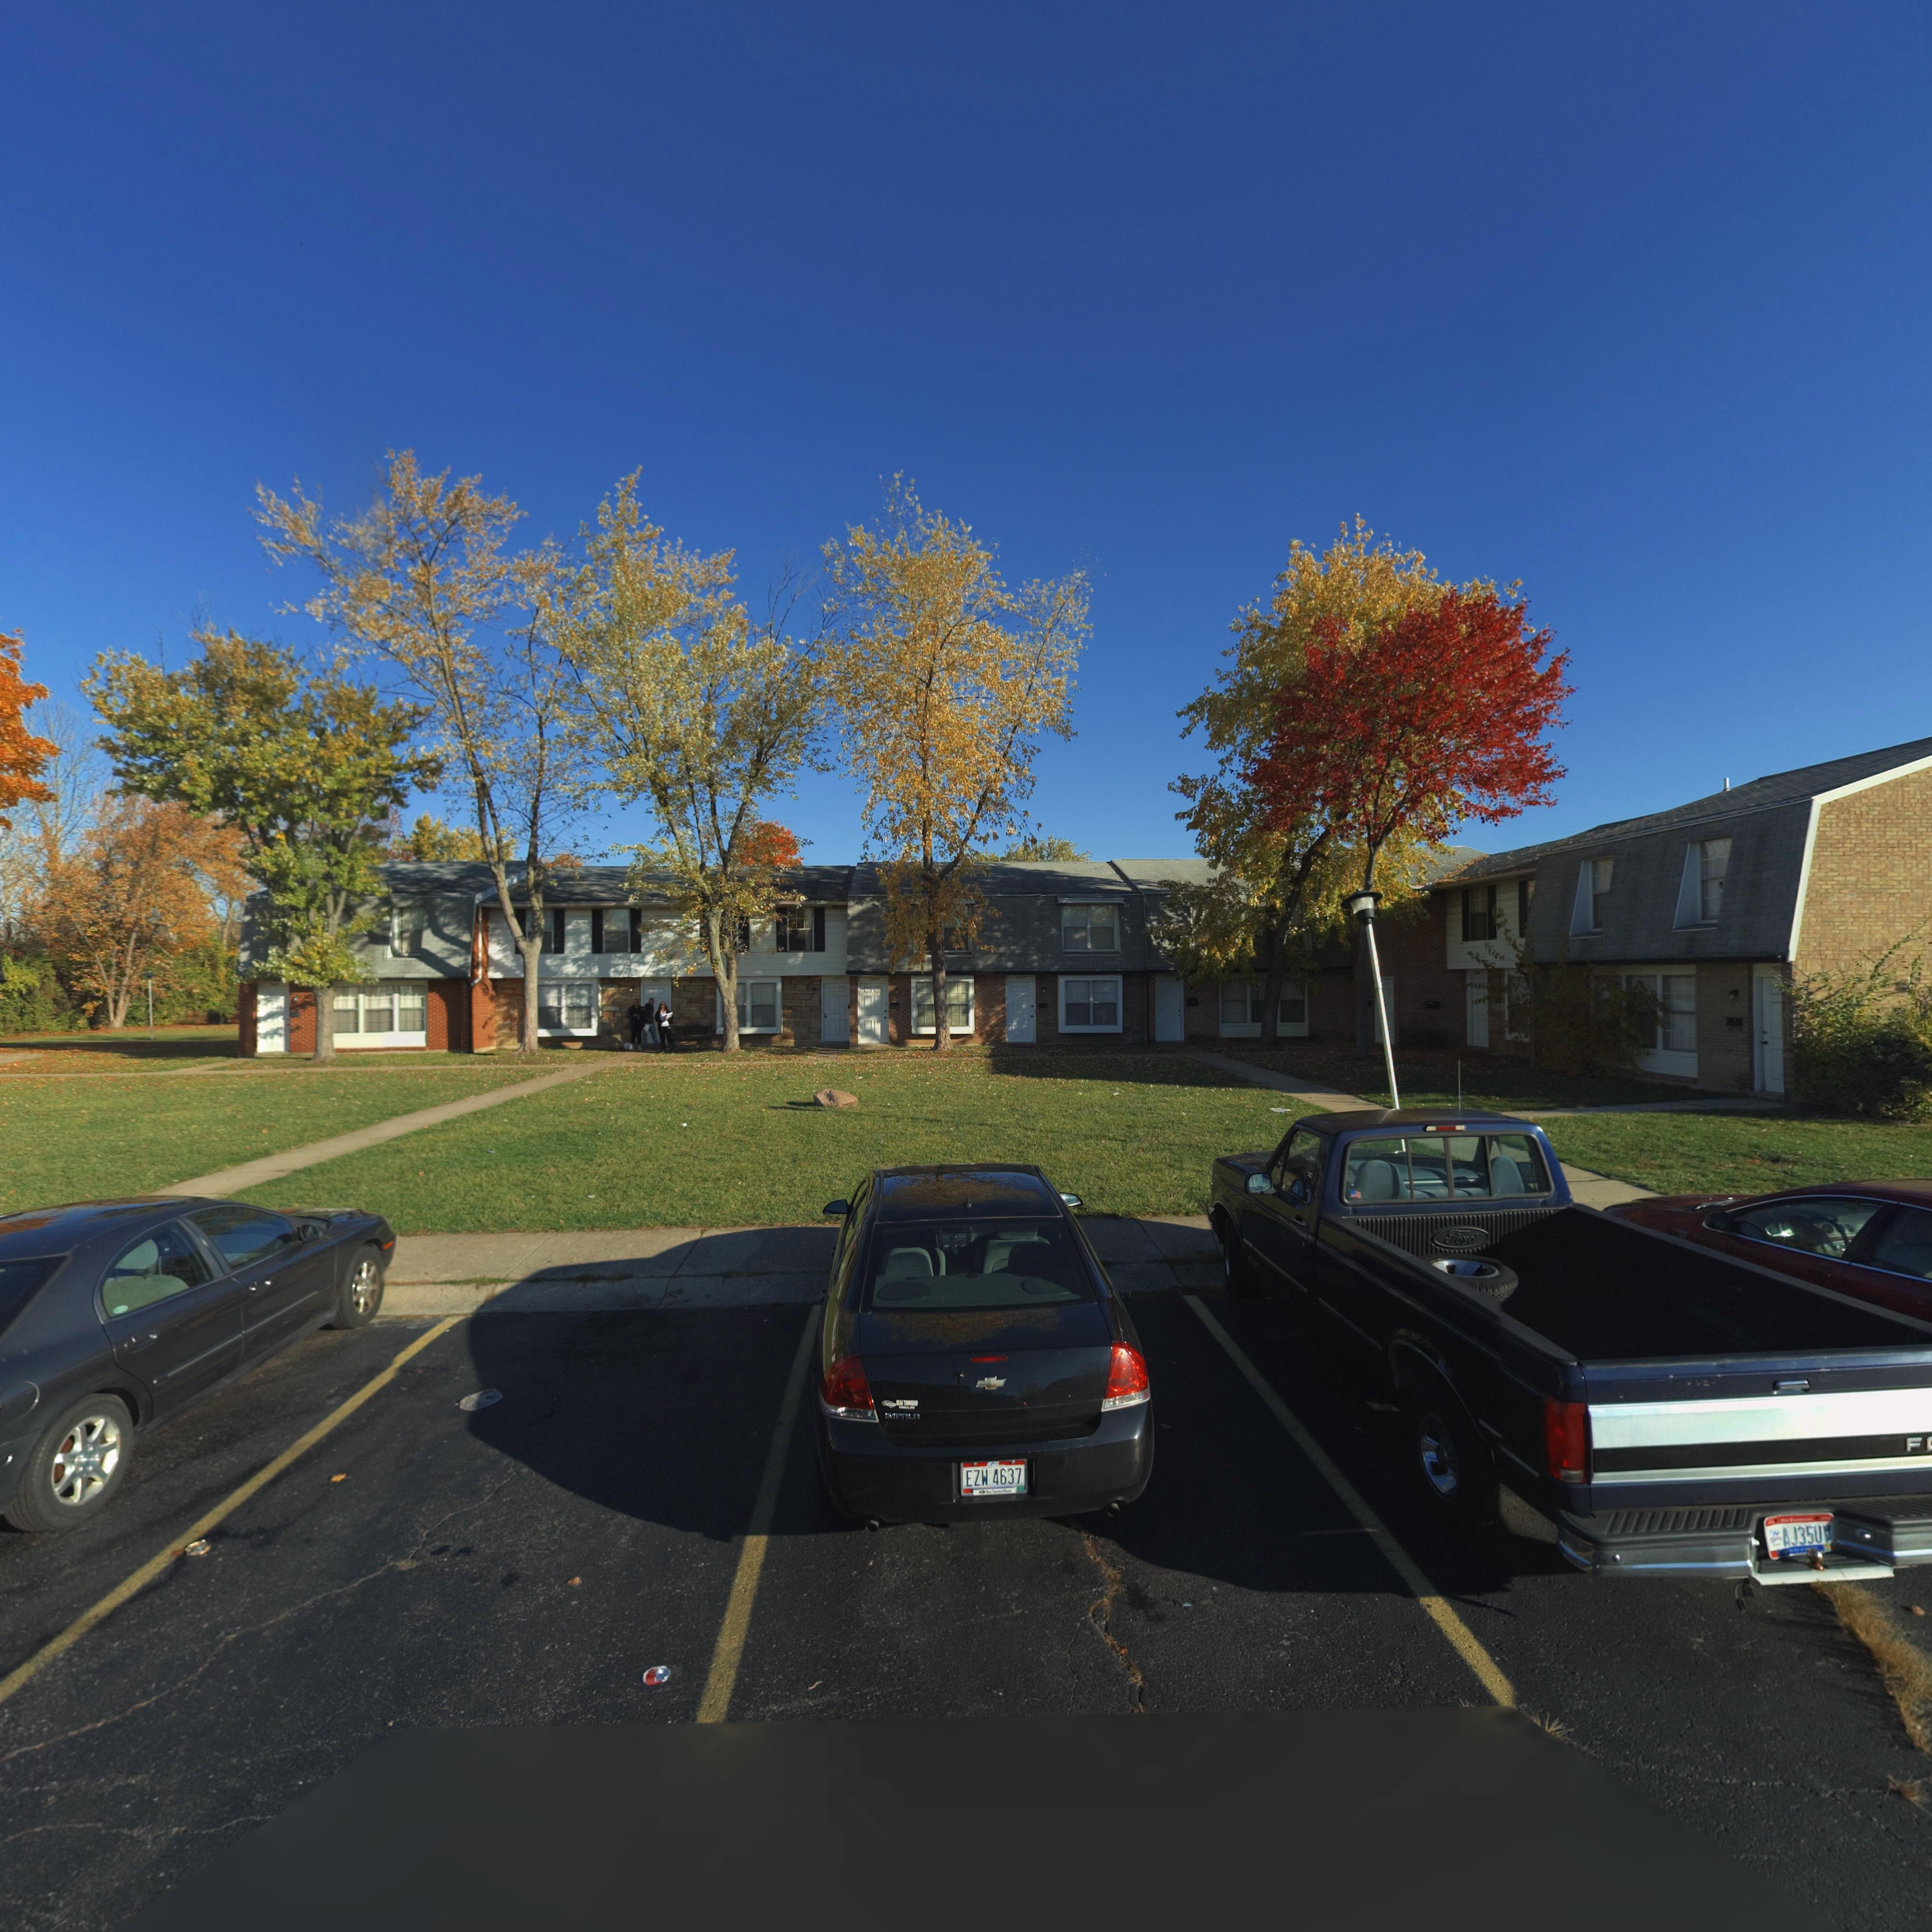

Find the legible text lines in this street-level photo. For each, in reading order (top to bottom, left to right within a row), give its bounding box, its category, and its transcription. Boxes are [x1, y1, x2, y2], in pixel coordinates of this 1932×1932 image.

[651, 978, 661, 982] StreetNumber: *6*1
[833, 976, 842, 981] StreetNumber: 7*93
[869, 976, 879, 981] StreetNumber: 76**
[1015, 975, 1027, 980] StreetNumber: 7*97
[1163, 973, 1174, 977] StreetNumber: ***9